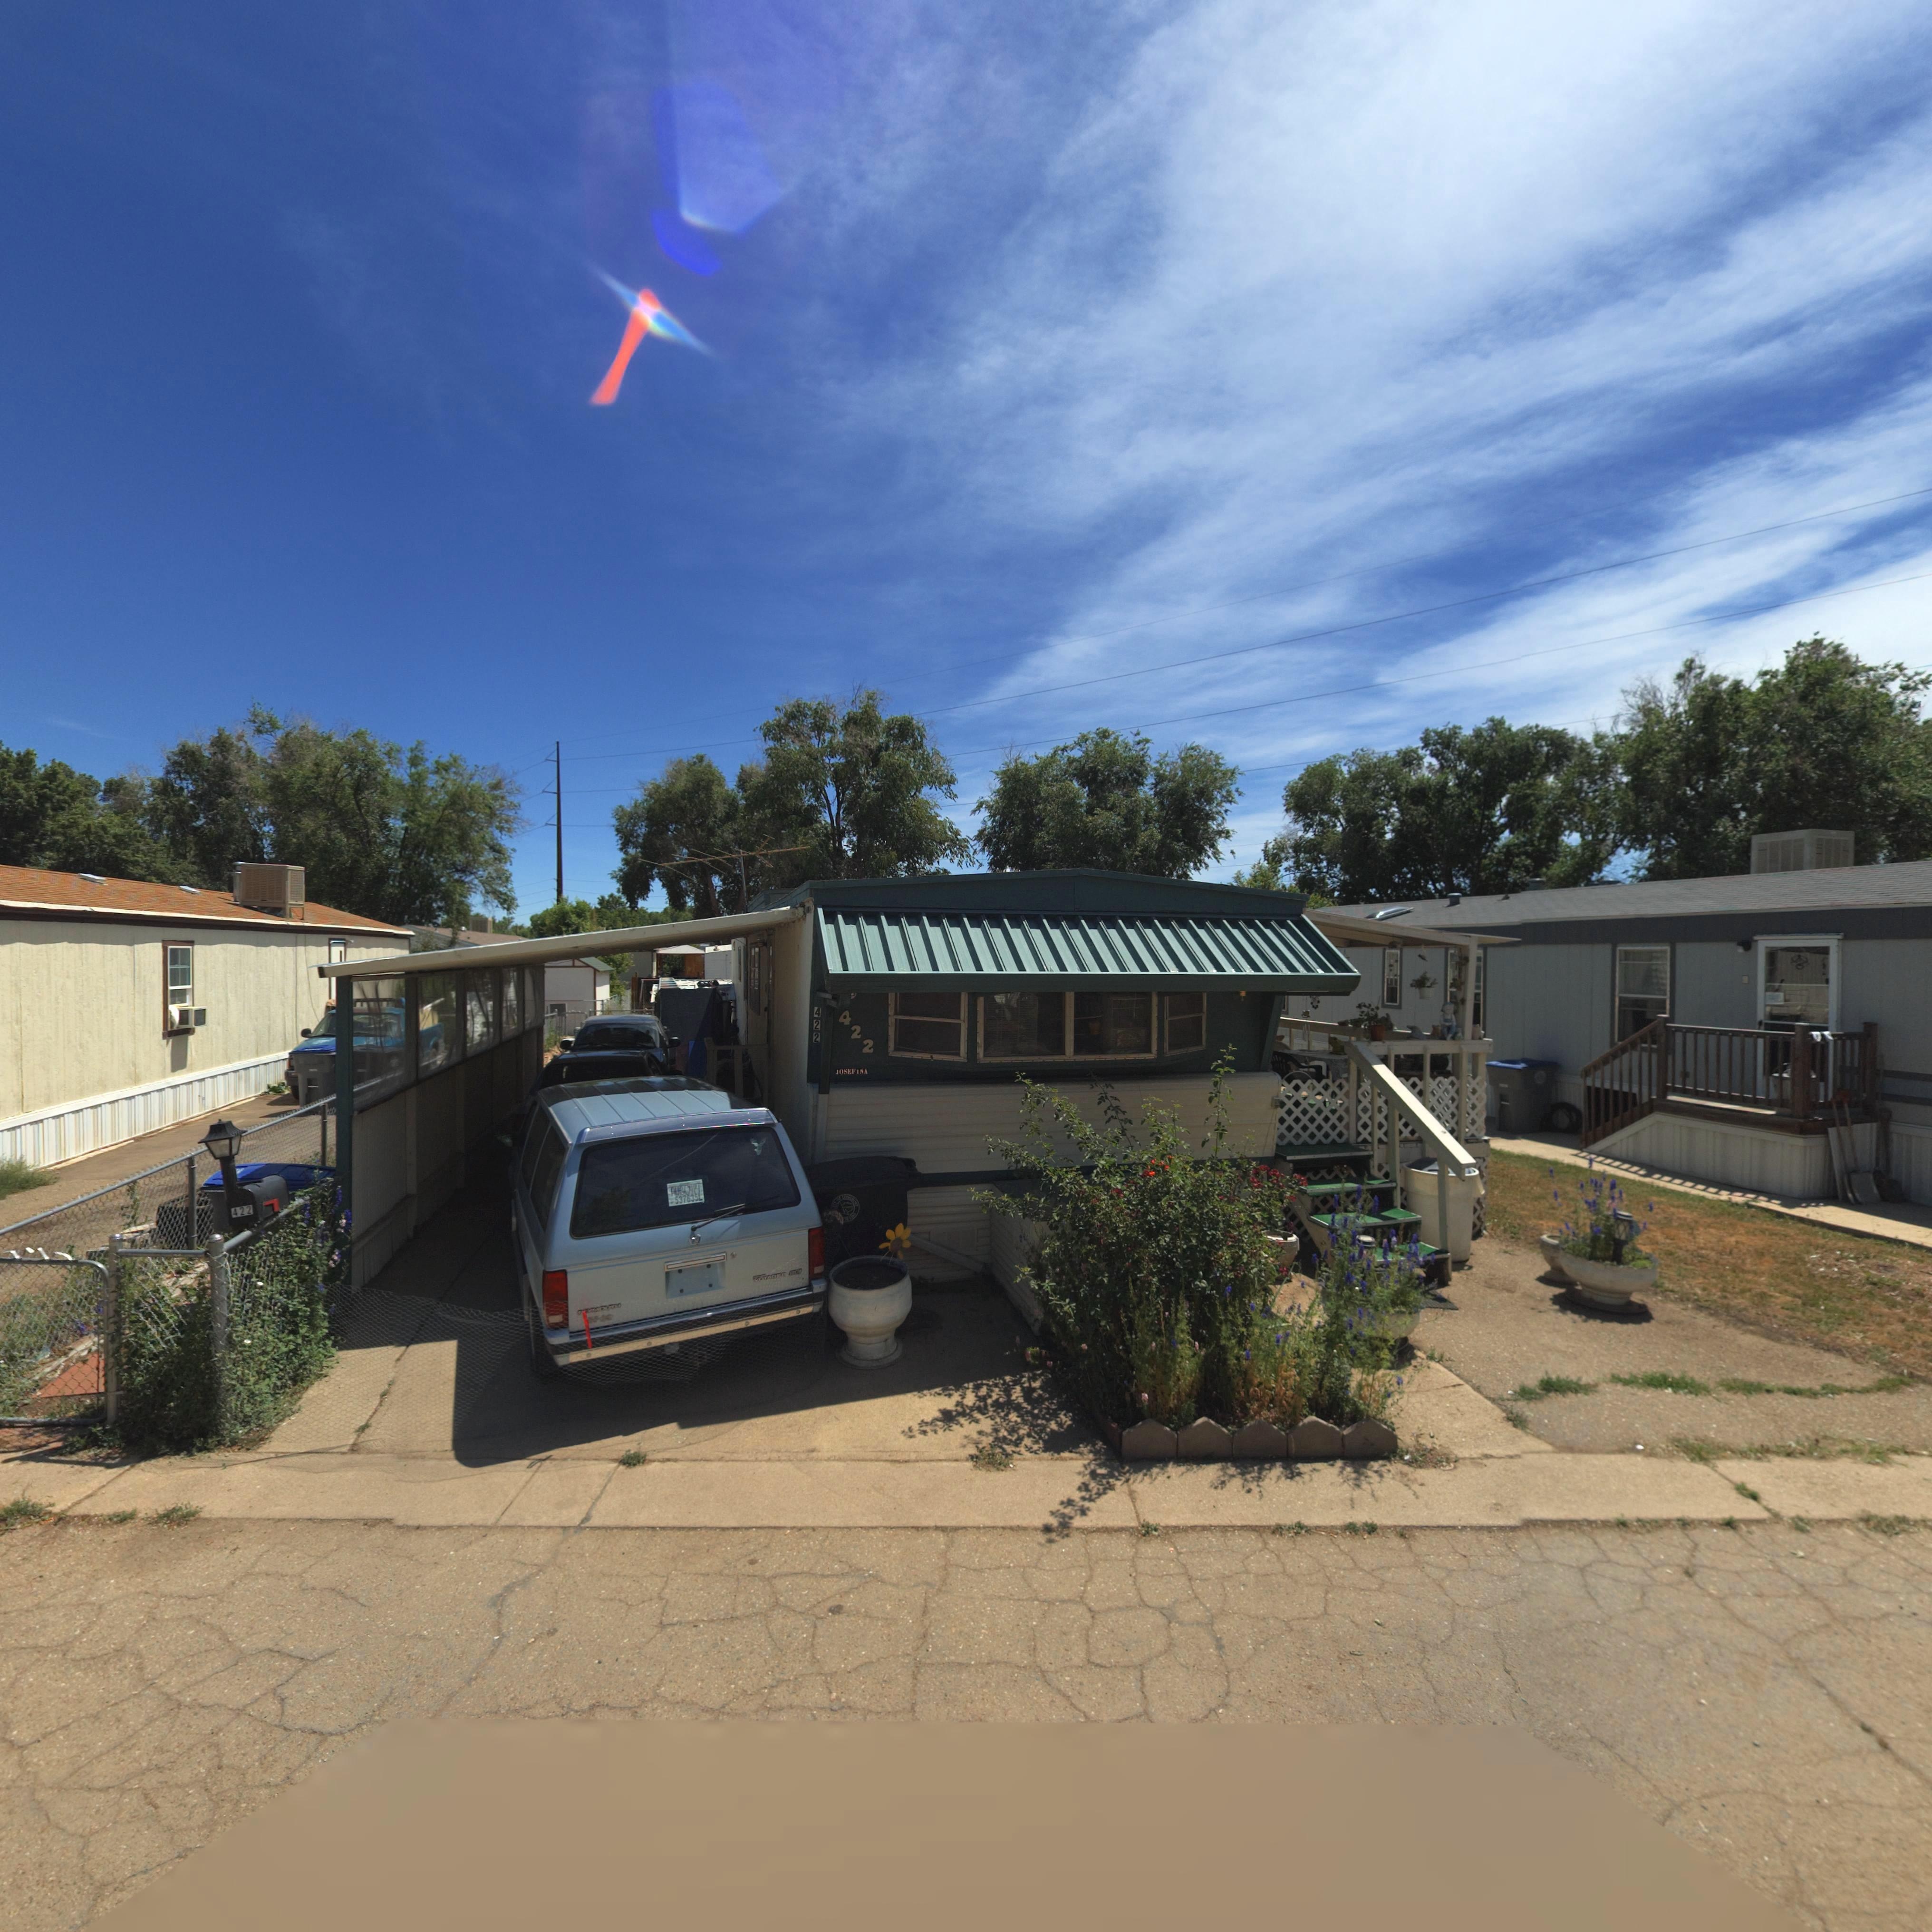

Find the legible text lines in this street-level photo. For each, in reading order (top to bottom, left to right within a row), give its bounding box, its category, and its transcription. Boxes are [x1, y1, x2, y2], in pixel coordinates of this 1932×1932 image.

[813, 1006, 821, 1043] StreetNumber: 422
[838, 1009, 873, 1053] StreetNumber: 422
[232, 1205, 251, 1217] StreetNumber: 422